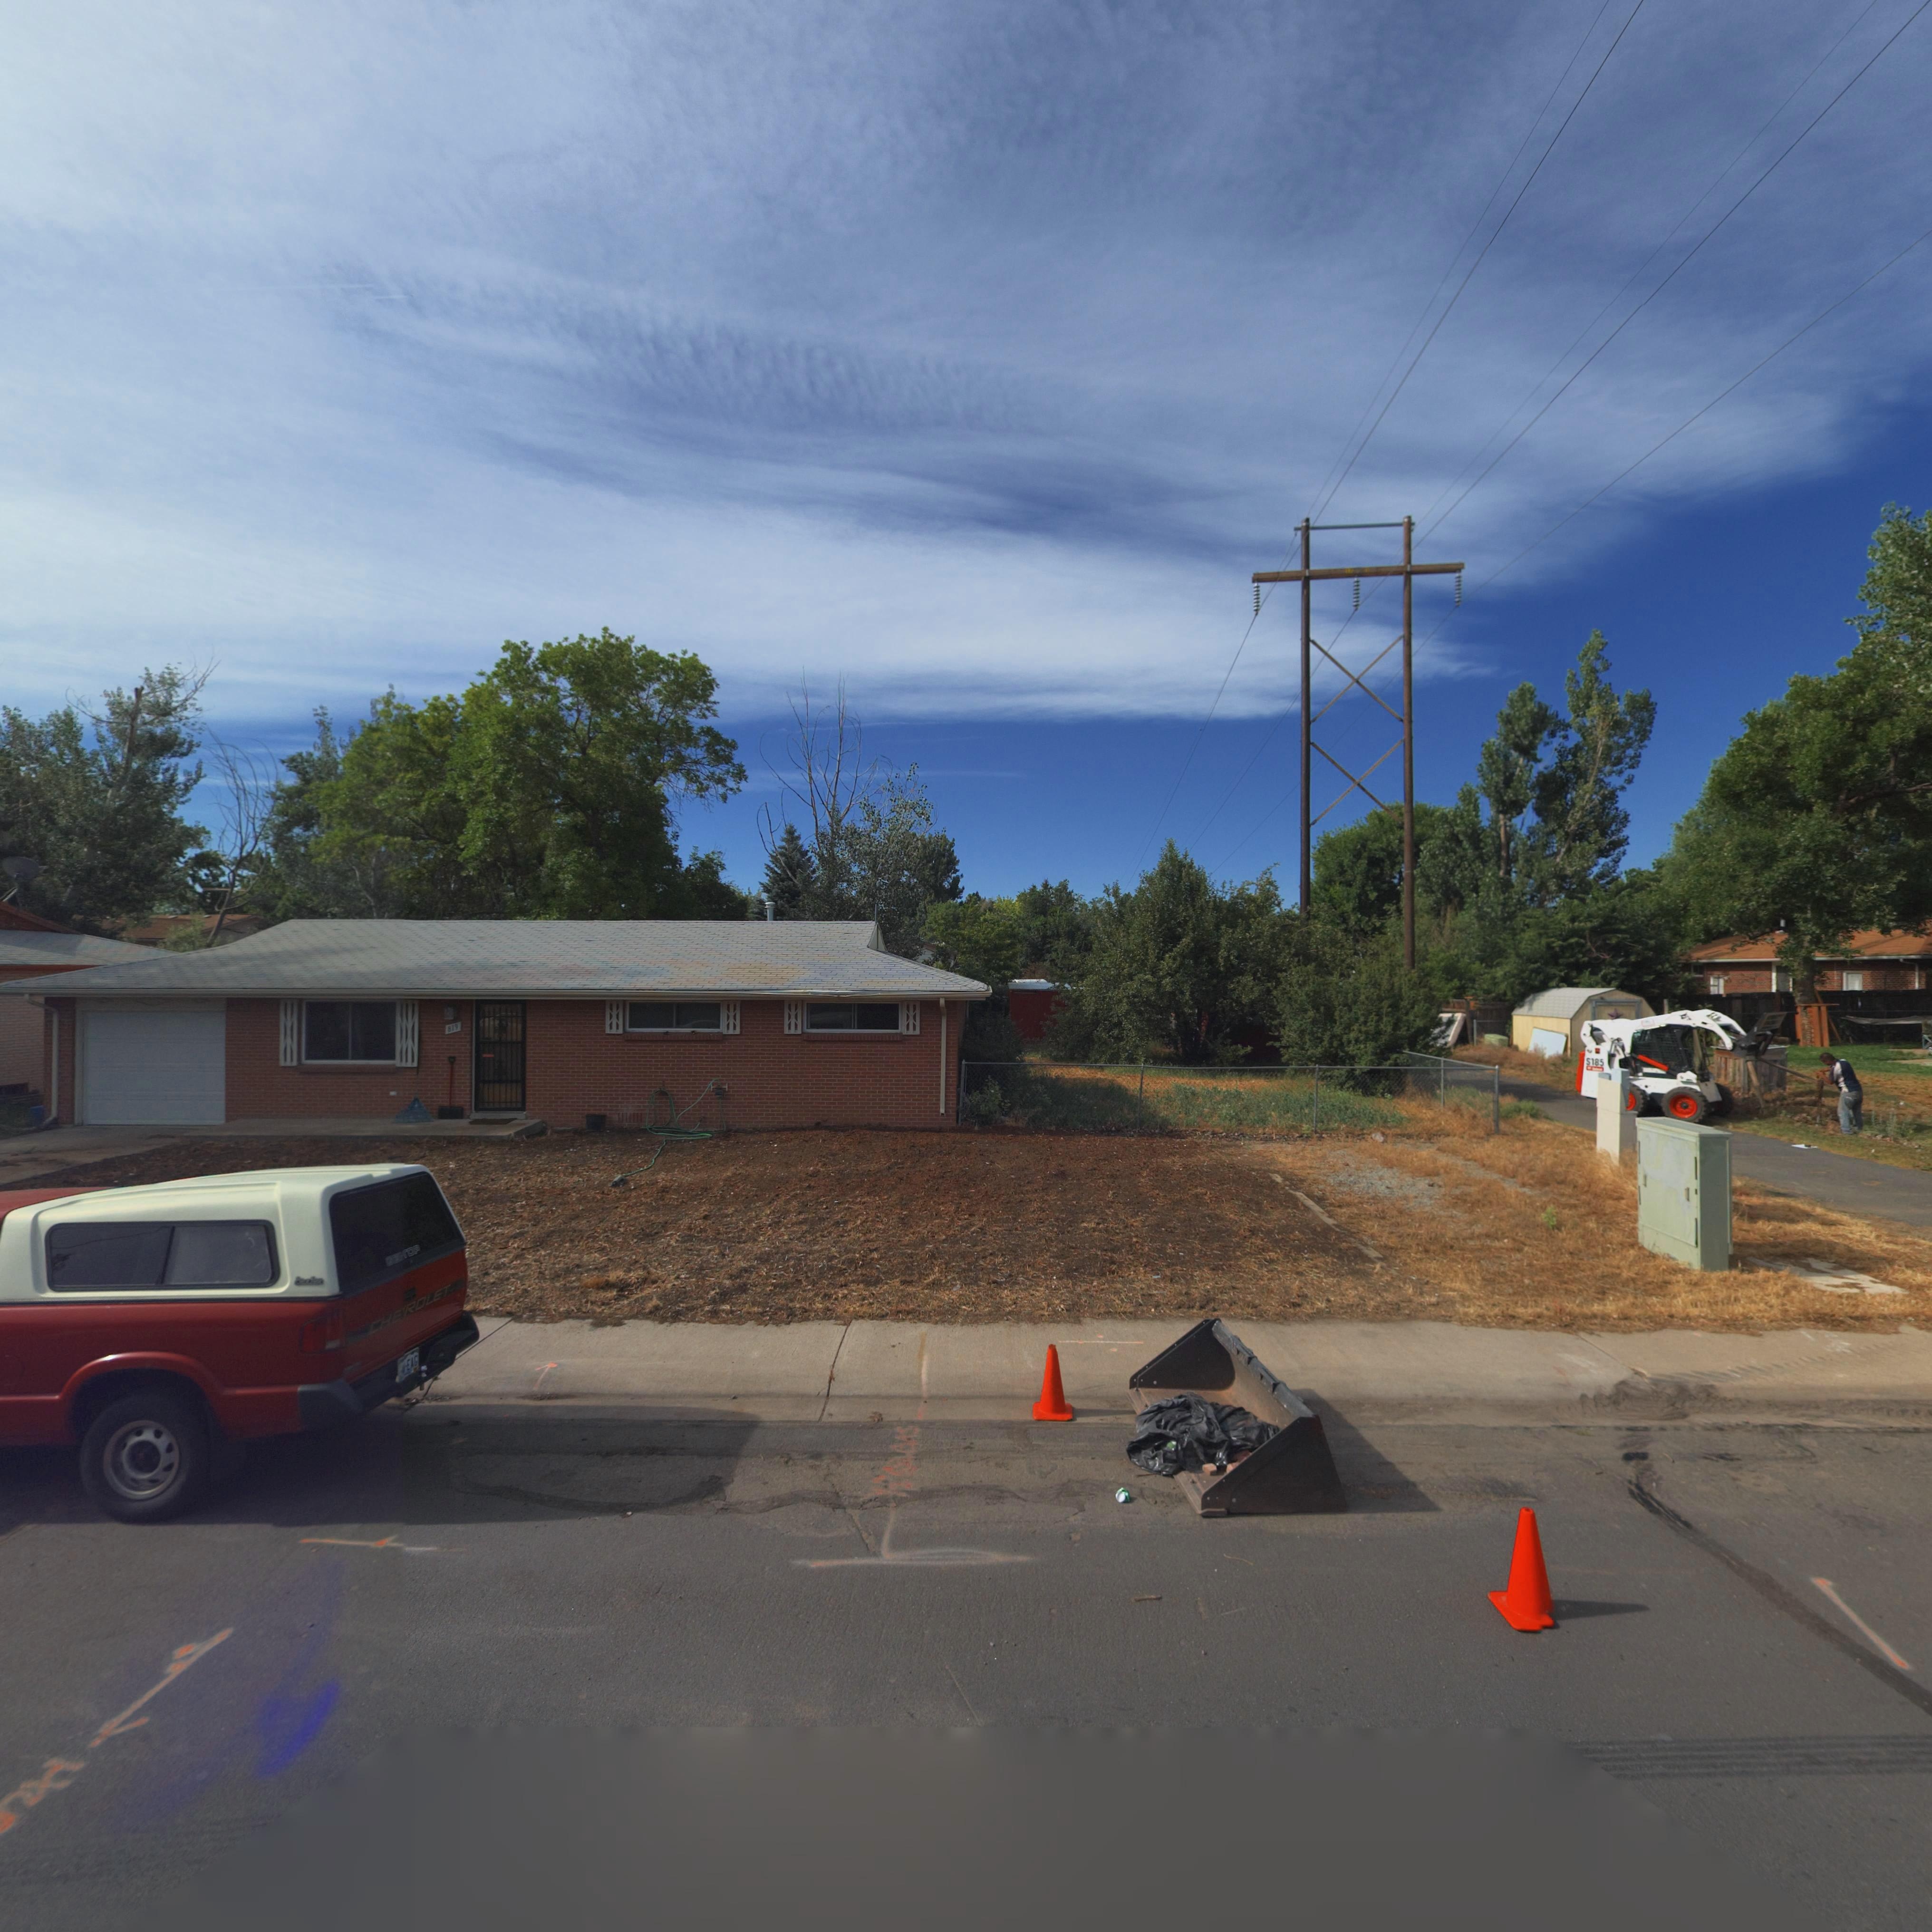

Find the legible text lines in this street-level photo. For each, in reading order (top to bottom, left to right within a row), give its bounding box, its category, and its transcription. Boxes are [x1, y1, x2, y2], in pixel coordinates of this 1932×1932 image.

[446, 1023, 458, 1033] StreetNumber: 819